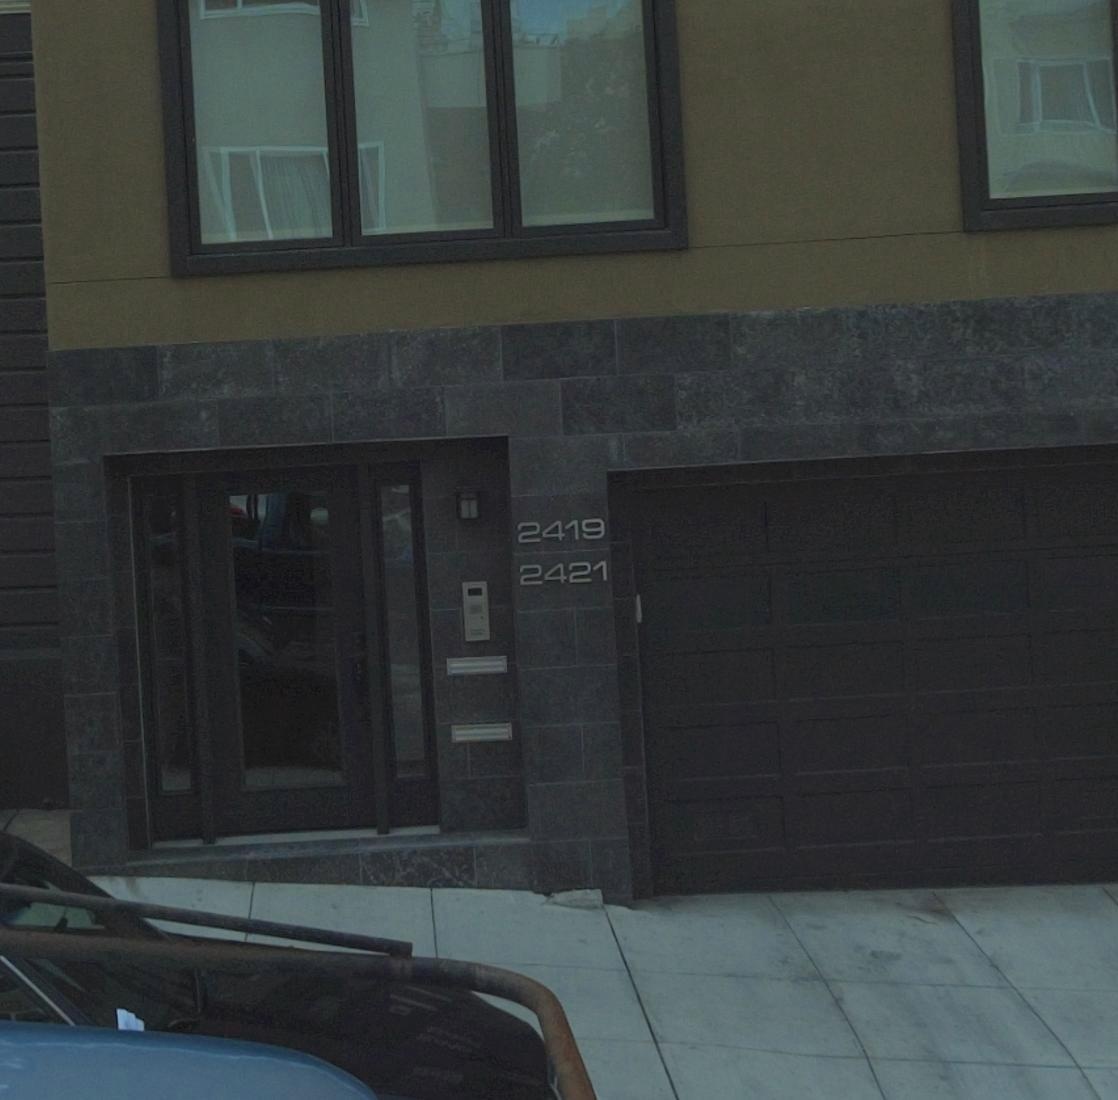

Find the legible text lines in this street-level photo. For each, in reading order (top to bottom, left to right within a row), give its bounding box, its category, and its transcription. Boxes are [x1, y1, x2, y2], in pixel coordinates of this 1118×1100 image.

[515, 515, 608, 546] StreetNumber: 2419
[517, 557, 611, 588] StreetNumber: 2421